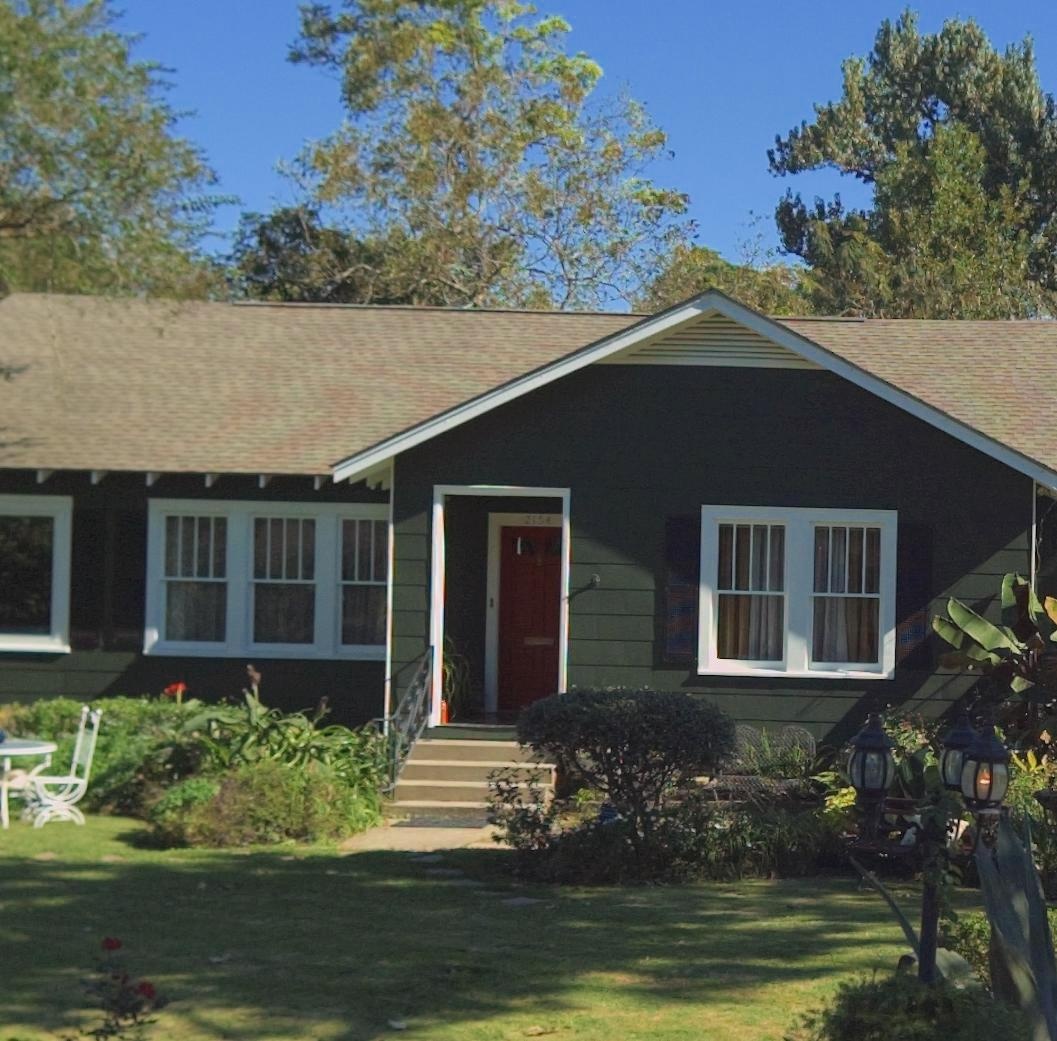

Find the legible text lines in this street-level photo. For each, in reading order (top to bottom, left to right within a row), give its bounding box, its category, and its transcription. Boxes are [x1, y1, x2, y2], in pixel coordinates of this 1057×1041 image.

[523, 514, 552, 527] StreetNumber: 2154